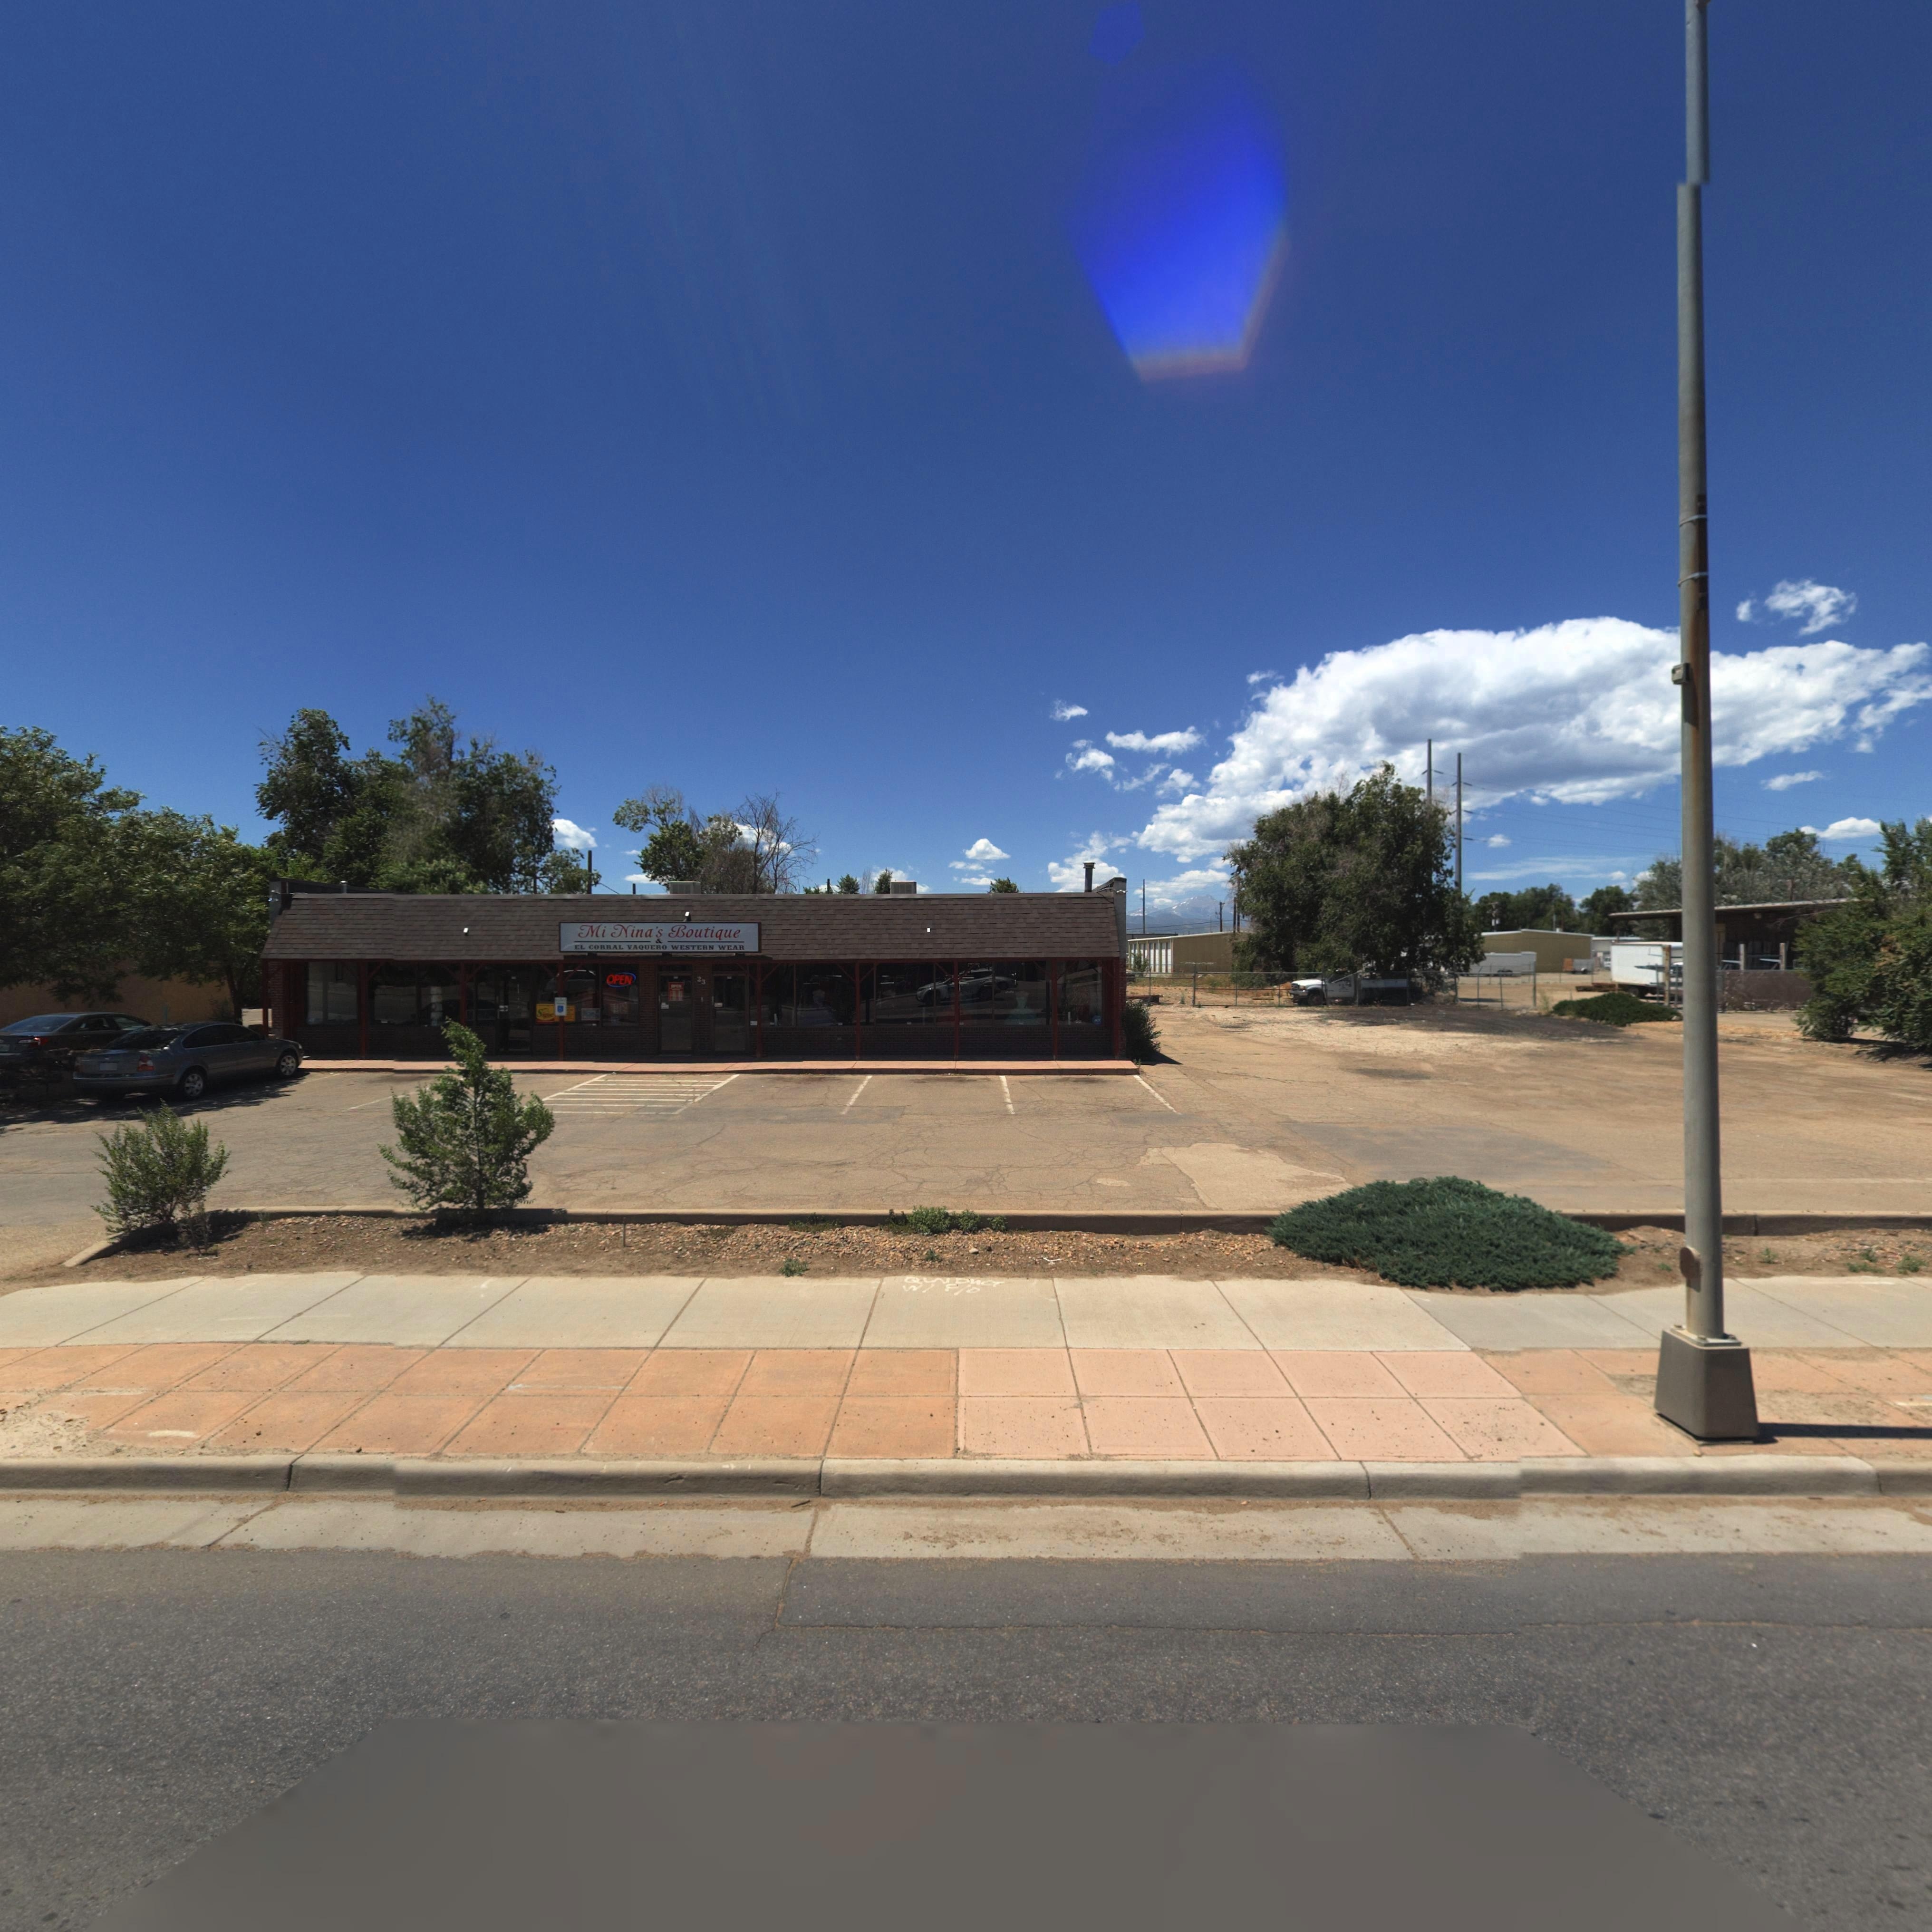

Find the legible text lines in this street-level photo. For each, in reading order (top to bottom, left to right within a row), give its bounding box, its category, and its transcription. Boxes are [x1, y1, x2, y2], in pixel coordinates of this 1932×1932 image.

[578, 923, 740, 941] BusinessName: Mi Nina's Boutique
[696, 976, 706, 985] StreetNumber: 23